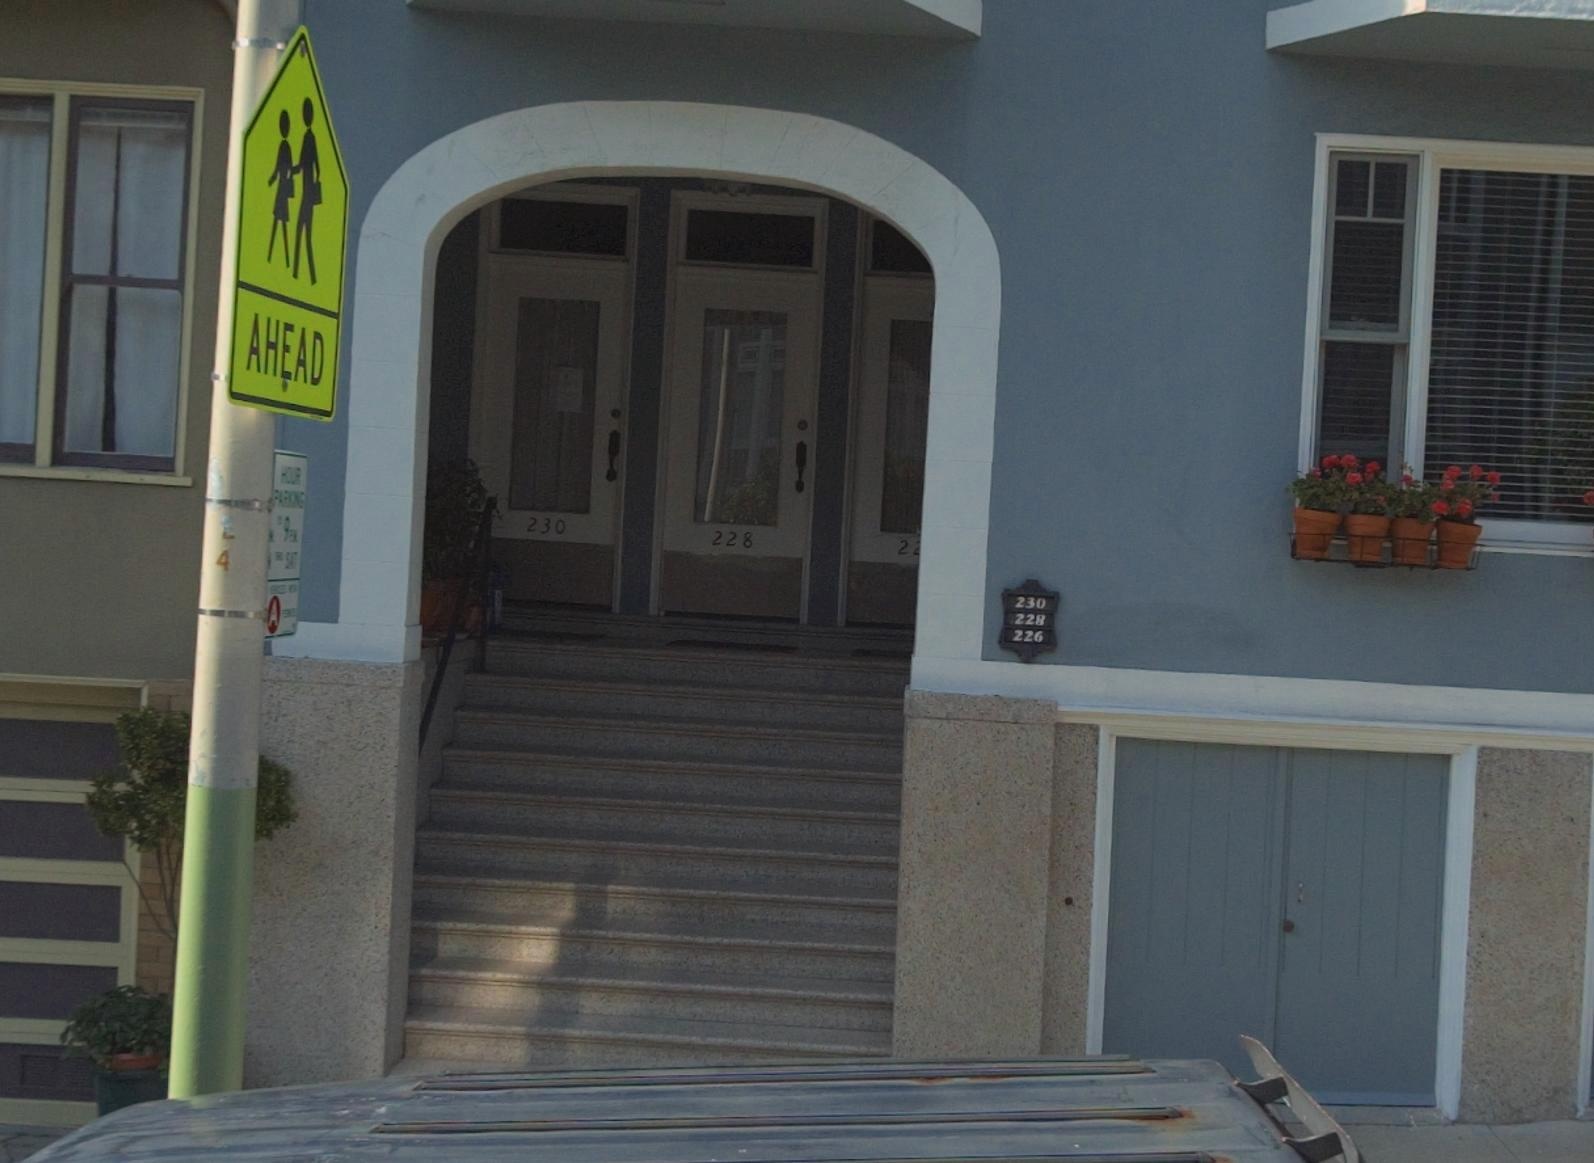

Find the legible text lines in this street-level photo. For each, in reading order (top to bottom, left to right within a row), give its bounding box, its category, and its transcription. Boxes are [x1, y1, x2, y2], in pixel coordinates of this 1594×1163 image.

[241, 310, 328, 390] None: AHEAD
[278, 463, 303, 487] None: HOUR
[270, 487, 308, 510] None: PARKING
[282, 516, 301, 543] None: 9PM
[522, 514, 568, 537] StreetNumber: 230
[710, 527, 754, 550] StreetNumber: 228
[895, 534, 910, 556] StreetNumber: 2
[213, 549, 231, 574] None: 4
[284, 550, 300, 571] None: SAT
[265, 598, 280, 628] None: A
[1013, 594, 1047, 611] StreetNumber: 230
[1013, 611, 1047, 627] StreetNumber: 228
[1012, 627, 1046, 644] StreetNumber: 226